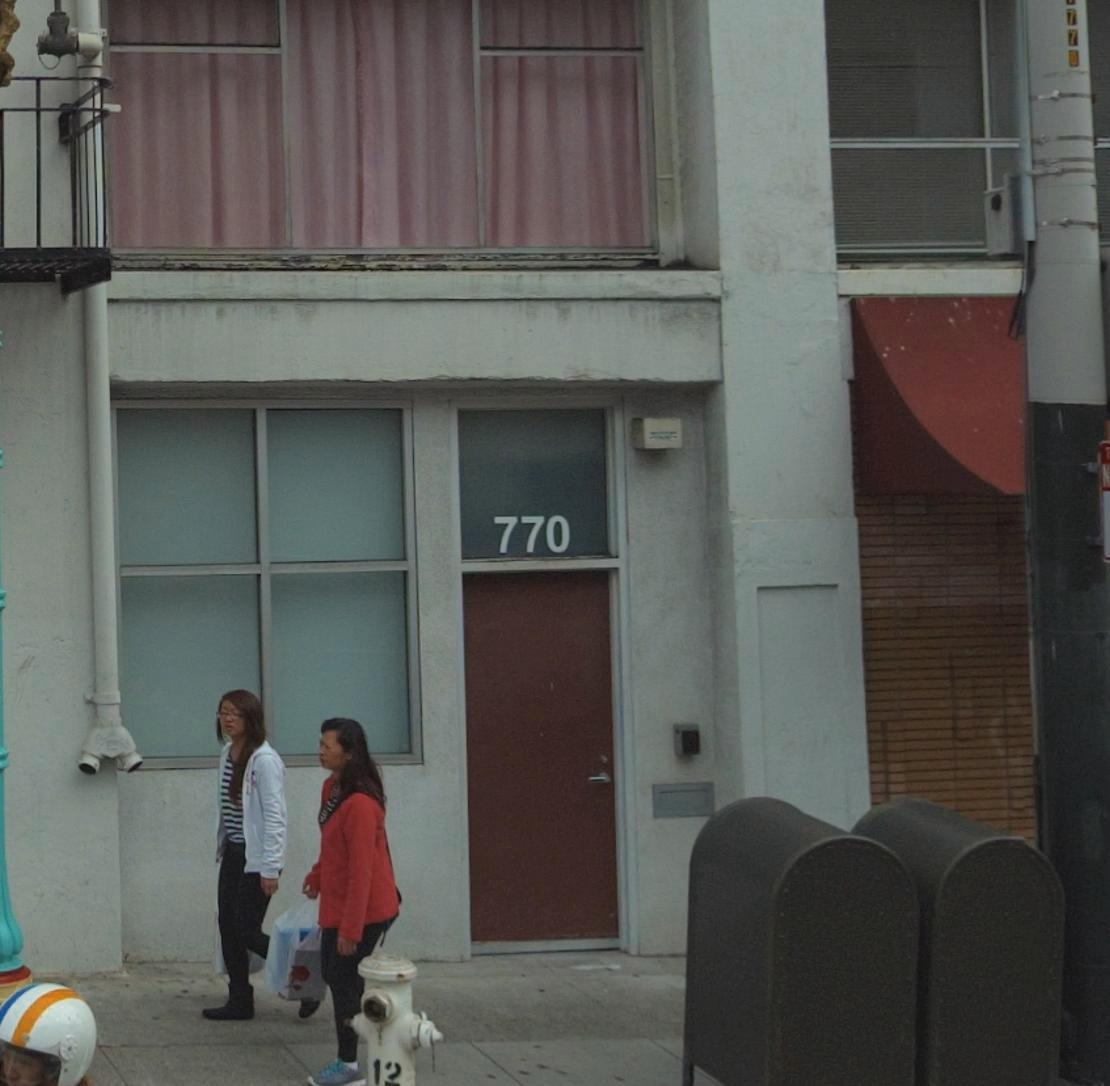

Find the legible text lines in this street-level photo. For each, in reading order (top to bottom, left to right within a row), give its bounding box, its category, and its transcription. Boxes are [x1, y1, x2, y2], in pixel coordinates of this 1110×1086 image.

[489, 511, 574, 557] StreetNumber: 770